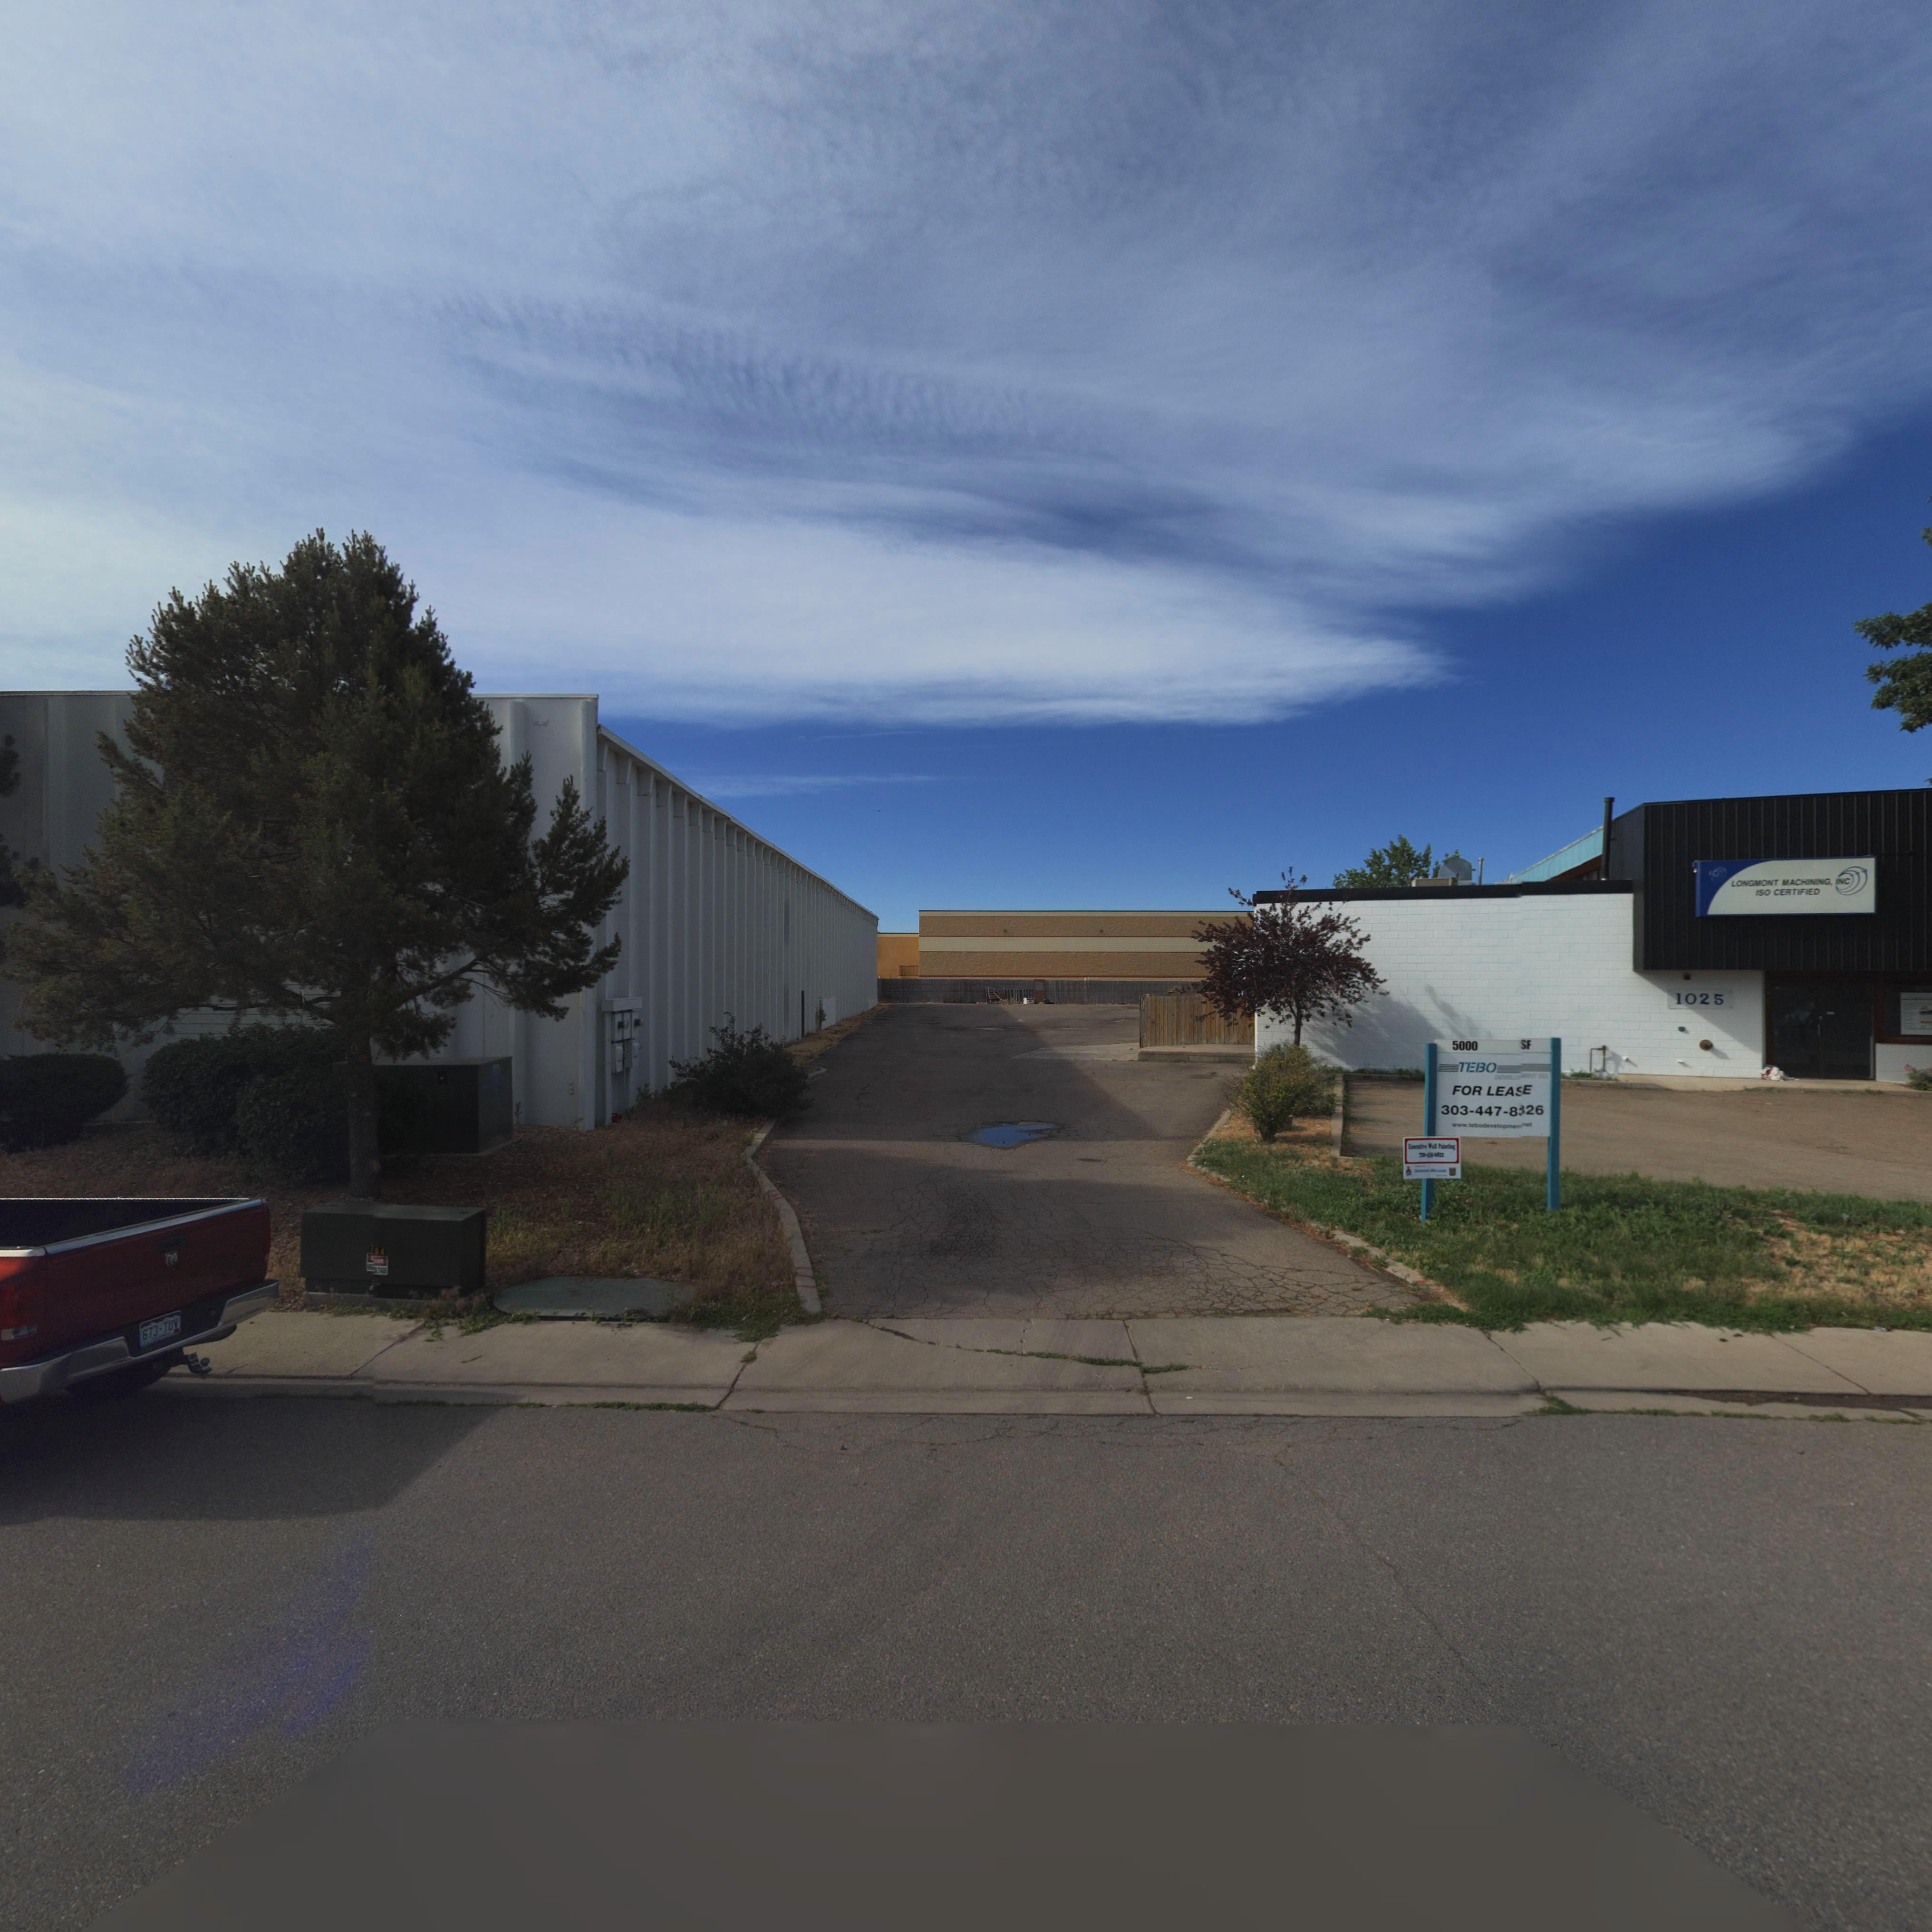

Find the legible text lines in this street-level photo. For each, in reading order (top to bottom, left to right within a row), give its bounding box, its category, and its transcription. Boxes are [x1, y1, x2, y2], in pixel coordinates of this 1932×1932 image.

[1731, 878, 1851, 887] BusinessName: LONGMONT MACHINING, INC
[1755, 888, 1821, 896] BusinessName: ISO CERTIFIED
[1675, 993, 1724, 1005] StreetNumber: 1025